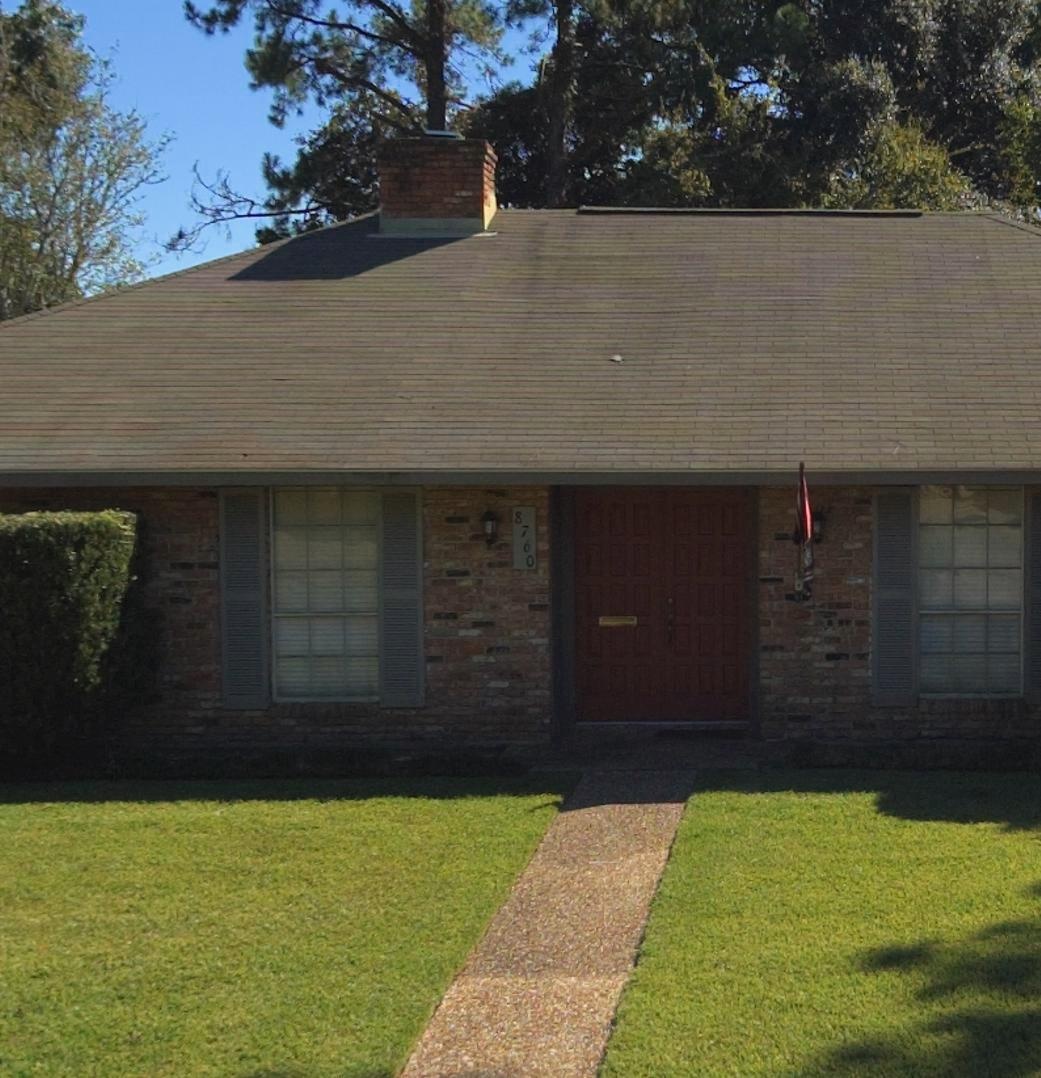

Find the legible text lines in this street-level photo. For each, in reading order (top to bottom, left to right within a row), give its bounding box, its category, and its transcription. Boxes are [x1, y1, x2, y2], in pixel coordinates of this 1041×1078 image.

[513, 509, 536, 568] StreetNumber: 8760